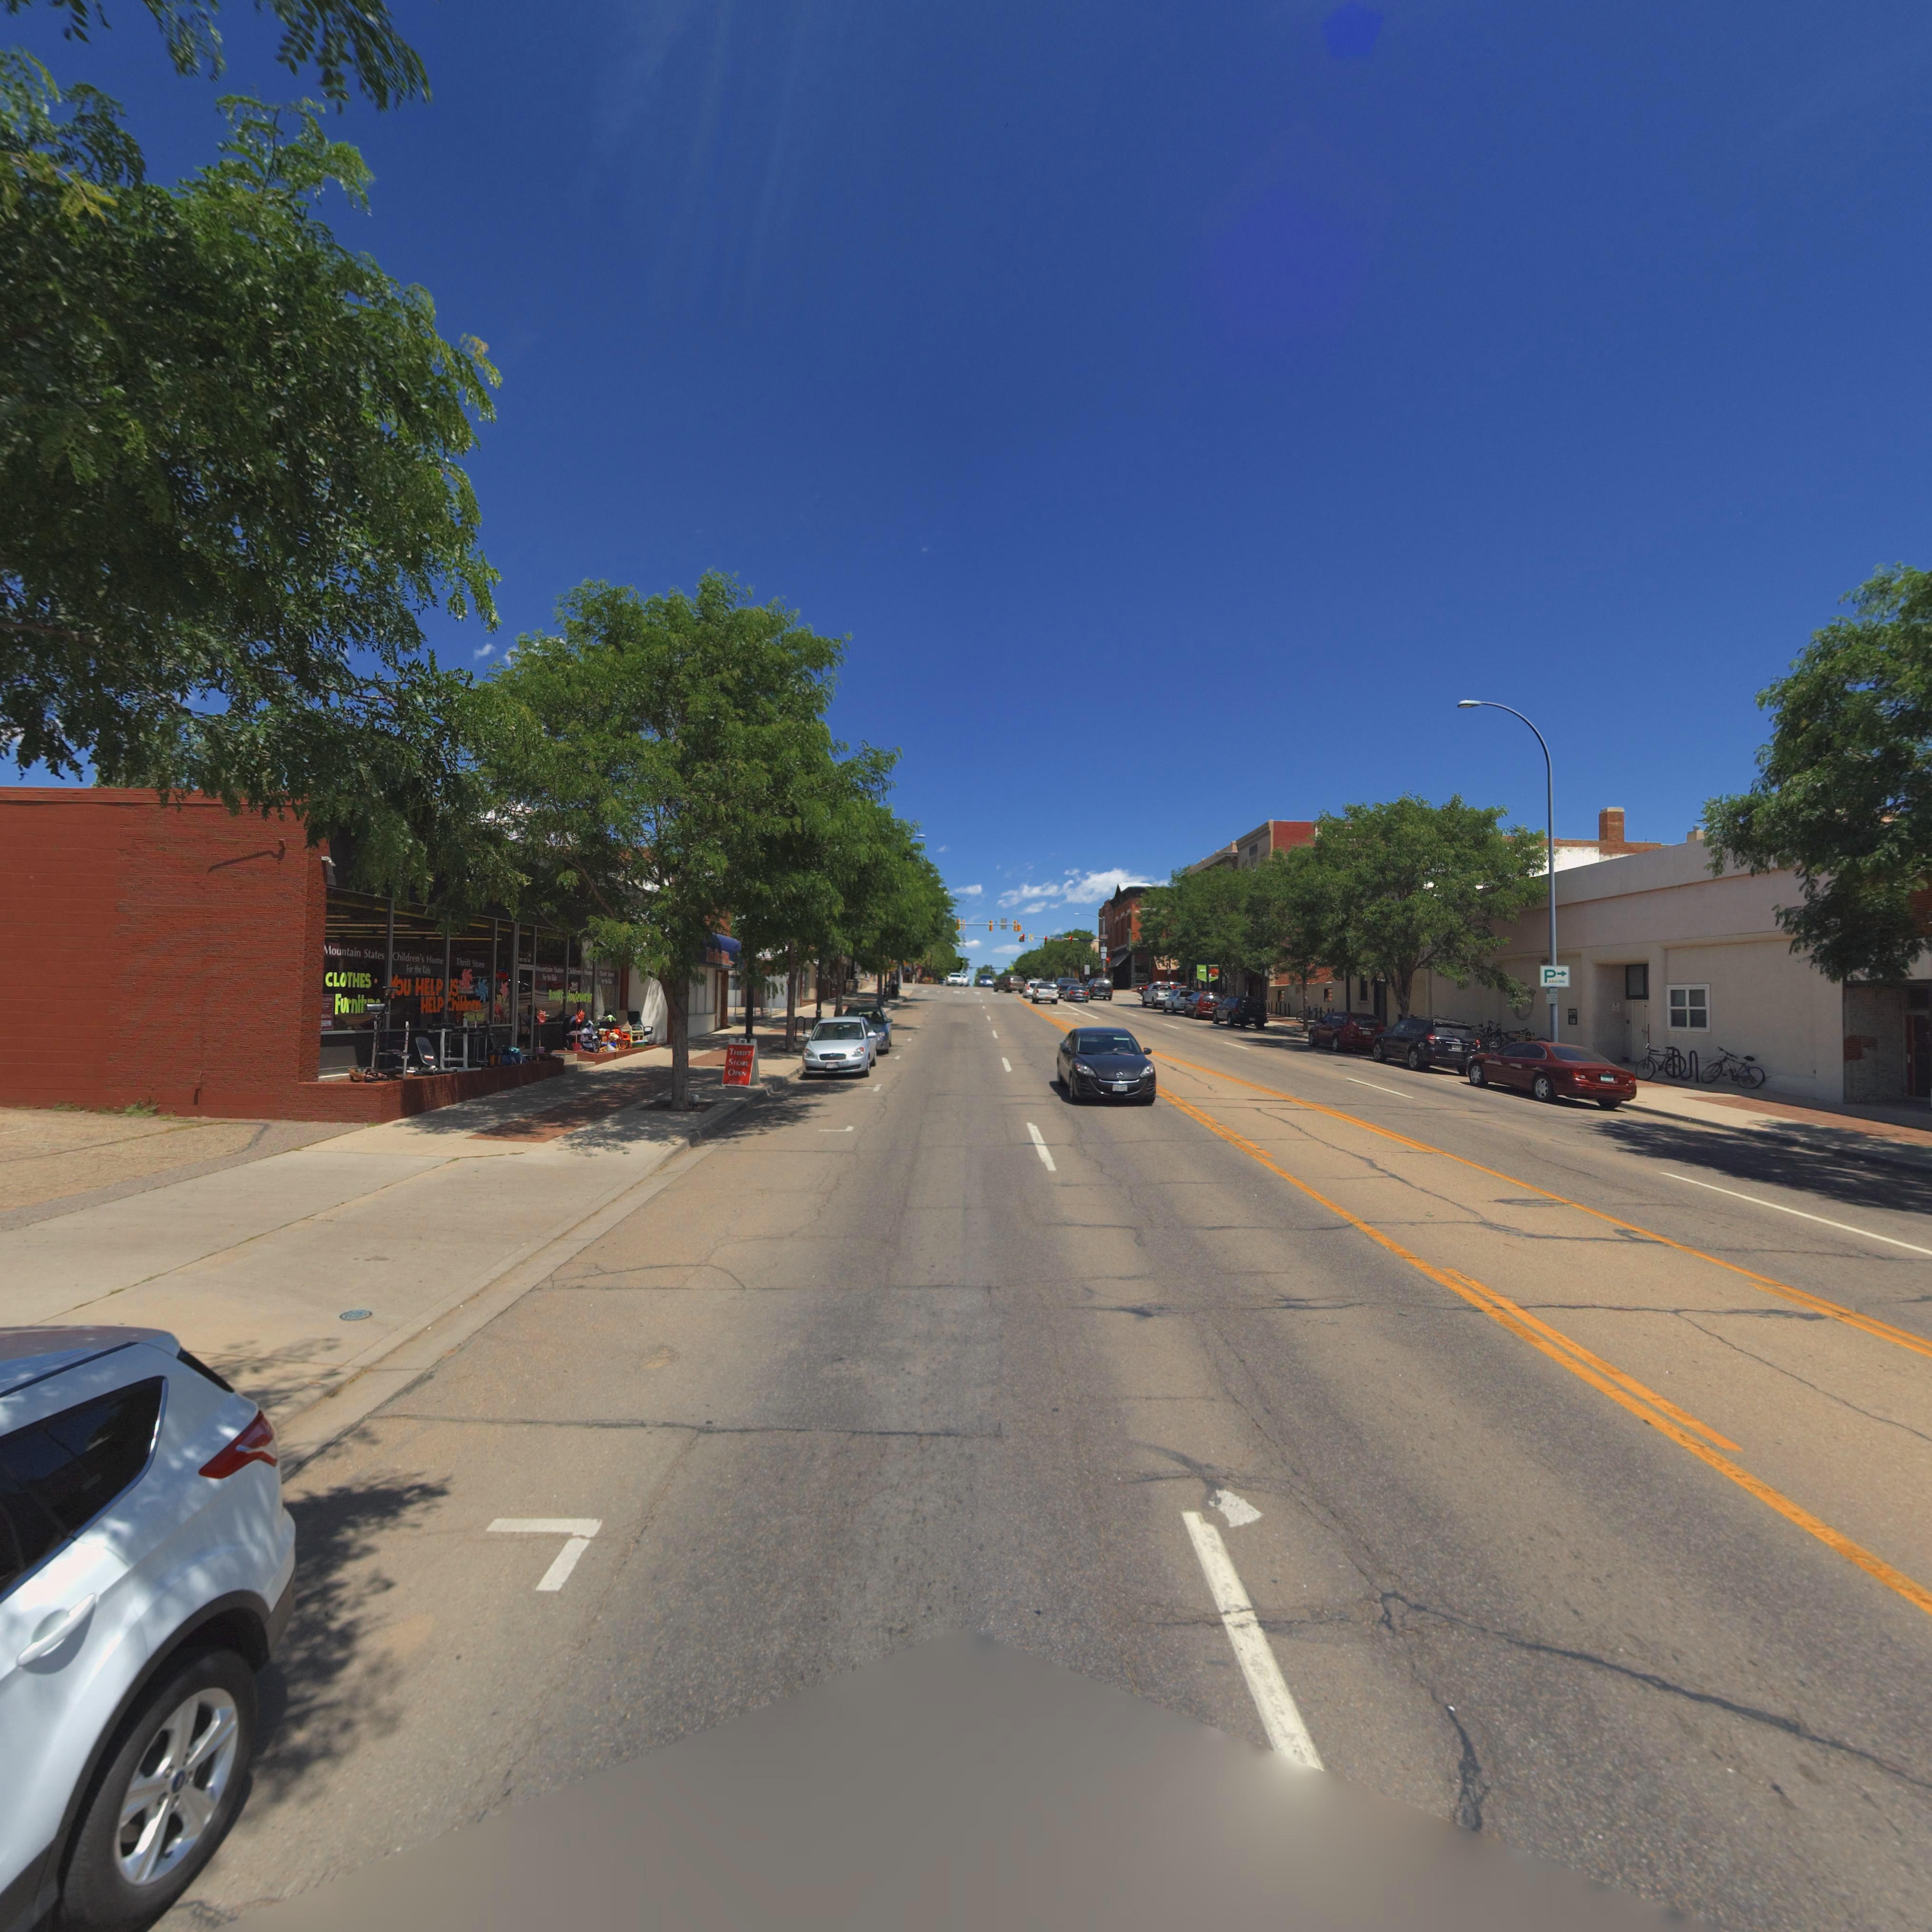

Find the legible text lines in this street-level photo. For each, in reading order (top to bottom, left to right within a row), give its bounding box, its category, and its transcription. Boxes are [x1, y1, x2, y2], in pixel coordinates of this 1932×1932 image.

[323, 944, 444, 965] BusinessName: Mountain States Children's Home
[456, 957, 485, 968] BusinessName: Thrift Store
[405, 964, 431, 975] BusinessName: For the Kids
[541, 973, 557, 981] BusinessName: For *h* K***
[535, 965, 593, 976] BusinessName: Mountain States Child*en's H*m*
[600, 977, 612, 984] BusinessName: For *** ****
[599, 970, 615, 977] BusinessName: T***ft St***
[1568, 1009, 1577, 1015] BusinessName: LC*C
[1569, 1017, 1576, 1024] StreetNumber: 2**